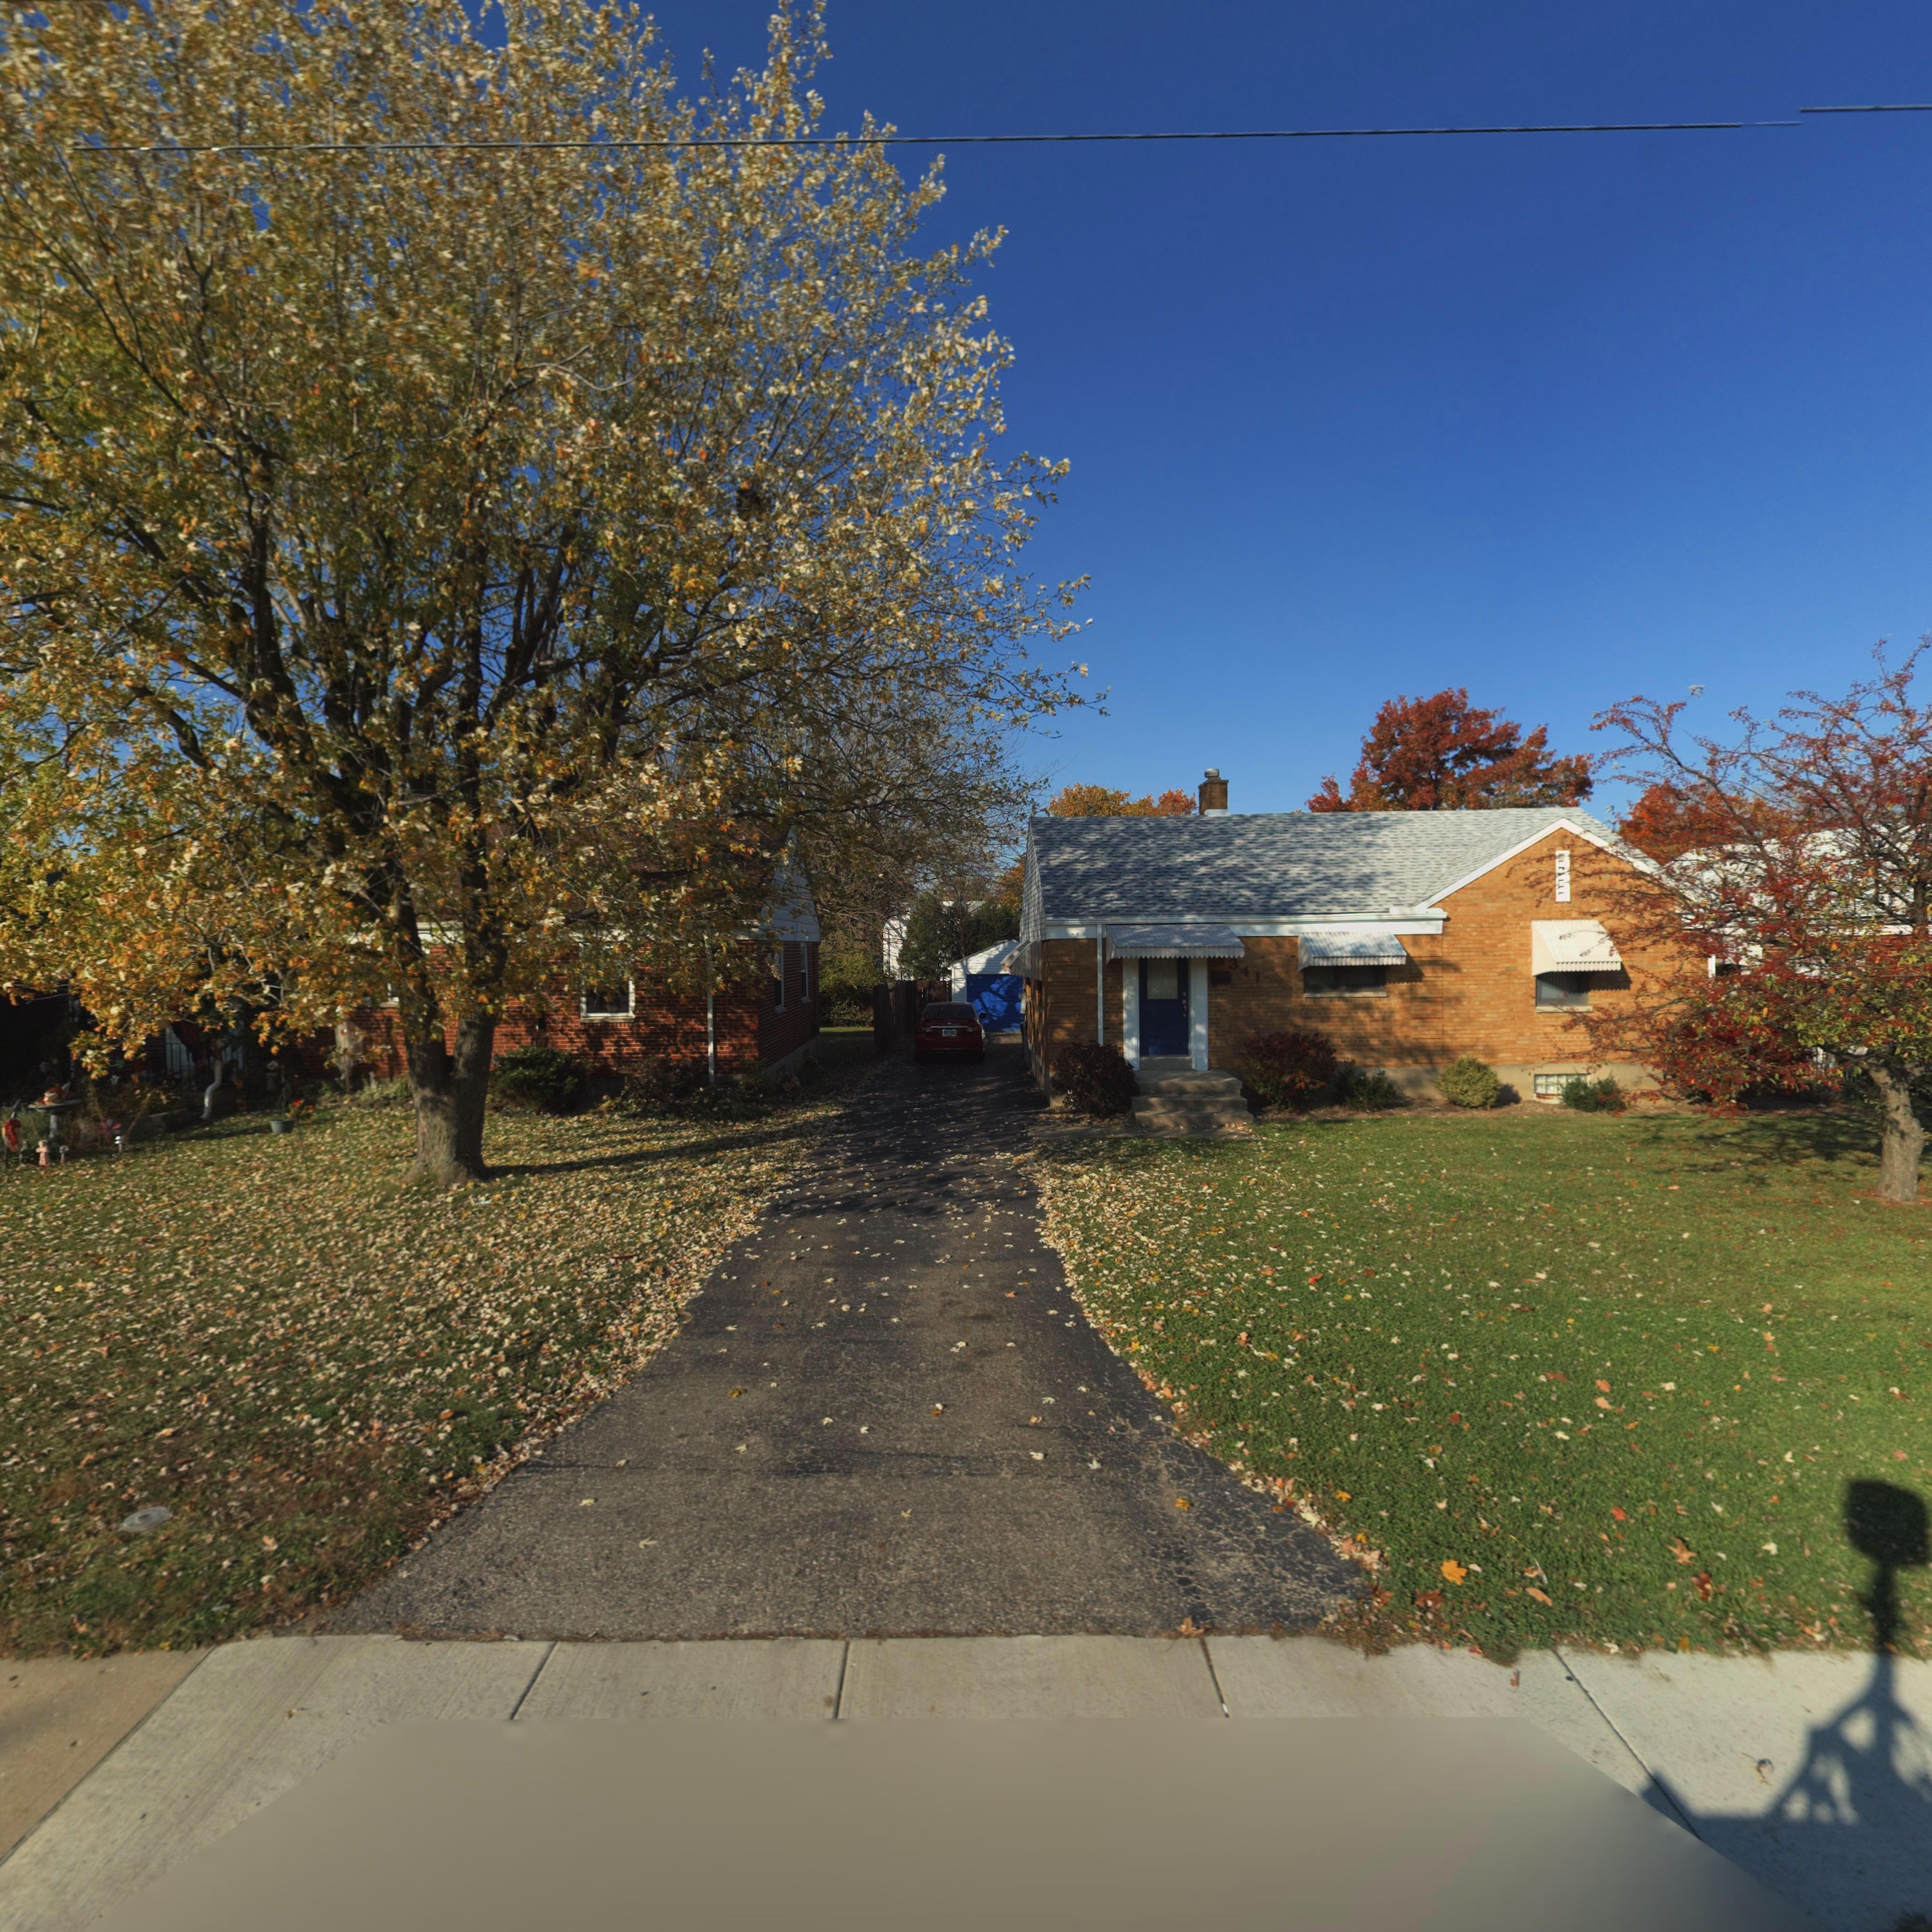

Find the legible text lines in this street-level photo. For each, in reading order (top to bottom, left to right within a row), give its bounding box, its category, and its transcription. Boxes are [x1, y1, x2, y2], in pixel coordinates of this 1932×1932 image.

[1227, 956, 1261, 984] StreetNumber: 341